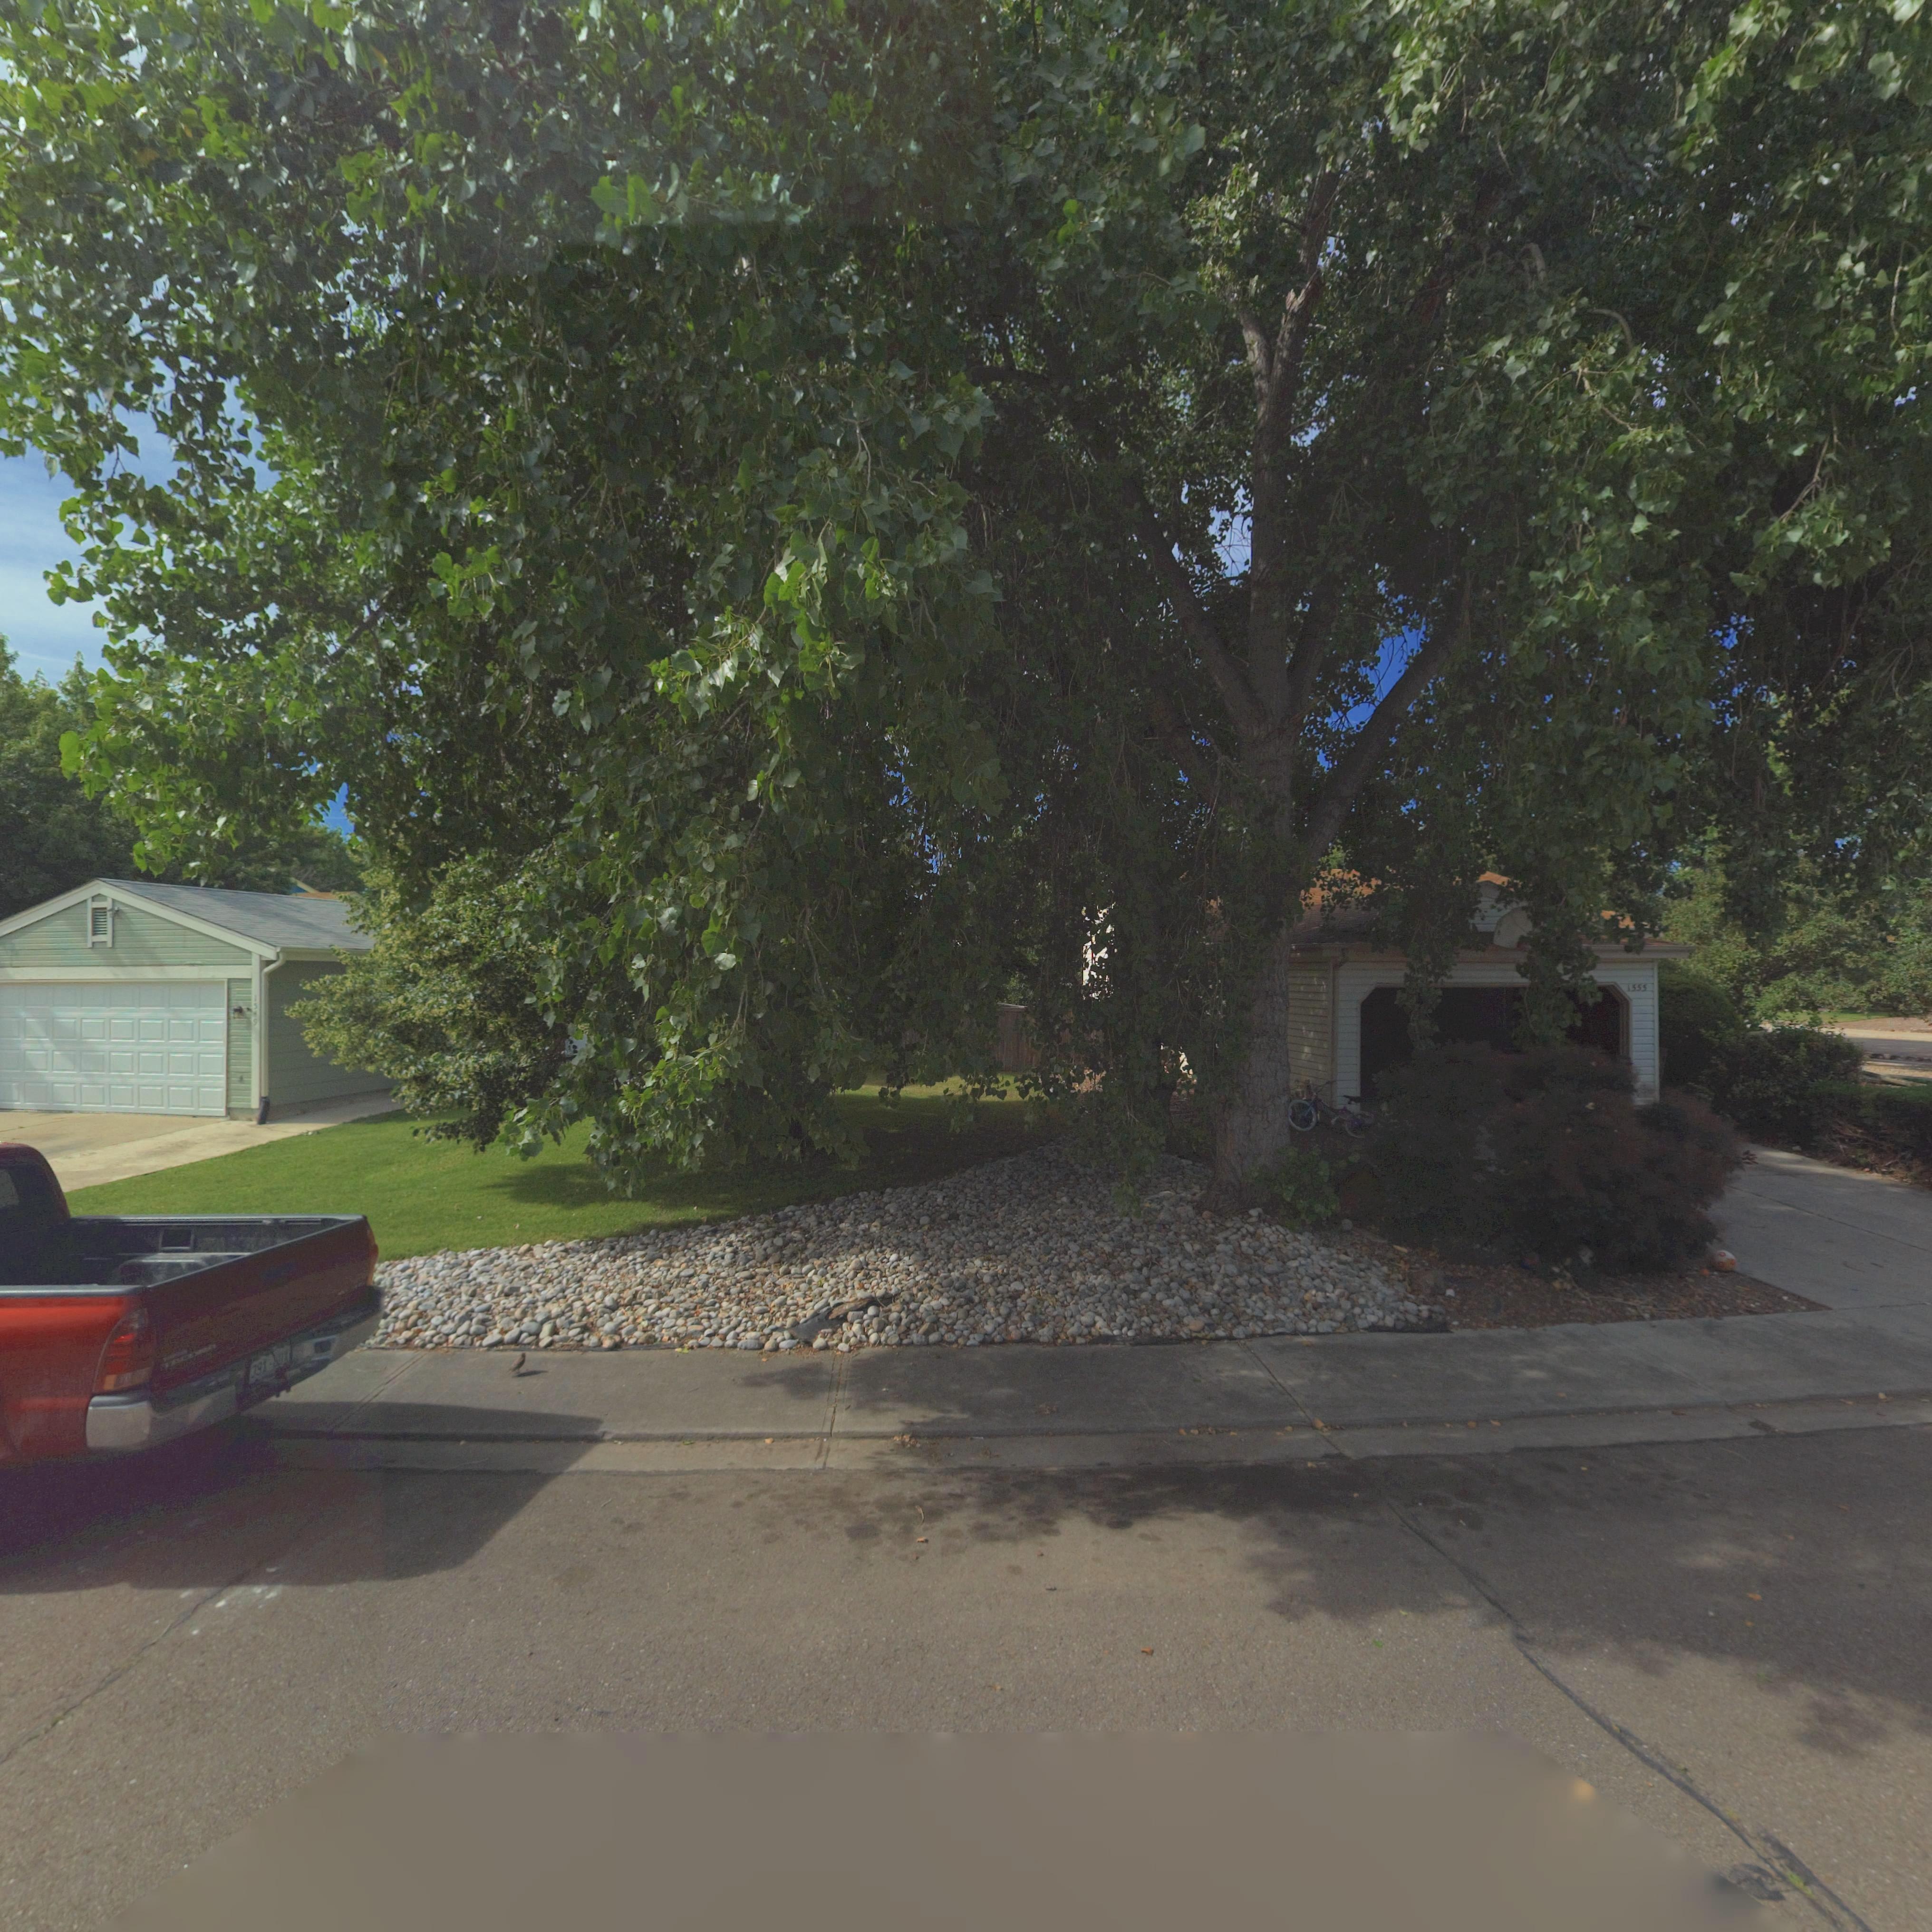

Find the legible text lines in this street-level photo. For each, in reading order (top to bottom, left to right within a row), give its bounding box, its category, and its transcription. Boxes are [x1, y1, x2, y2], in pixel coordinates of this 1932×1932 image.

[1627, 983, 1647, 992] StreetNumber: 1355
[252, 994, 259, 1026] StreetNumber: 1549